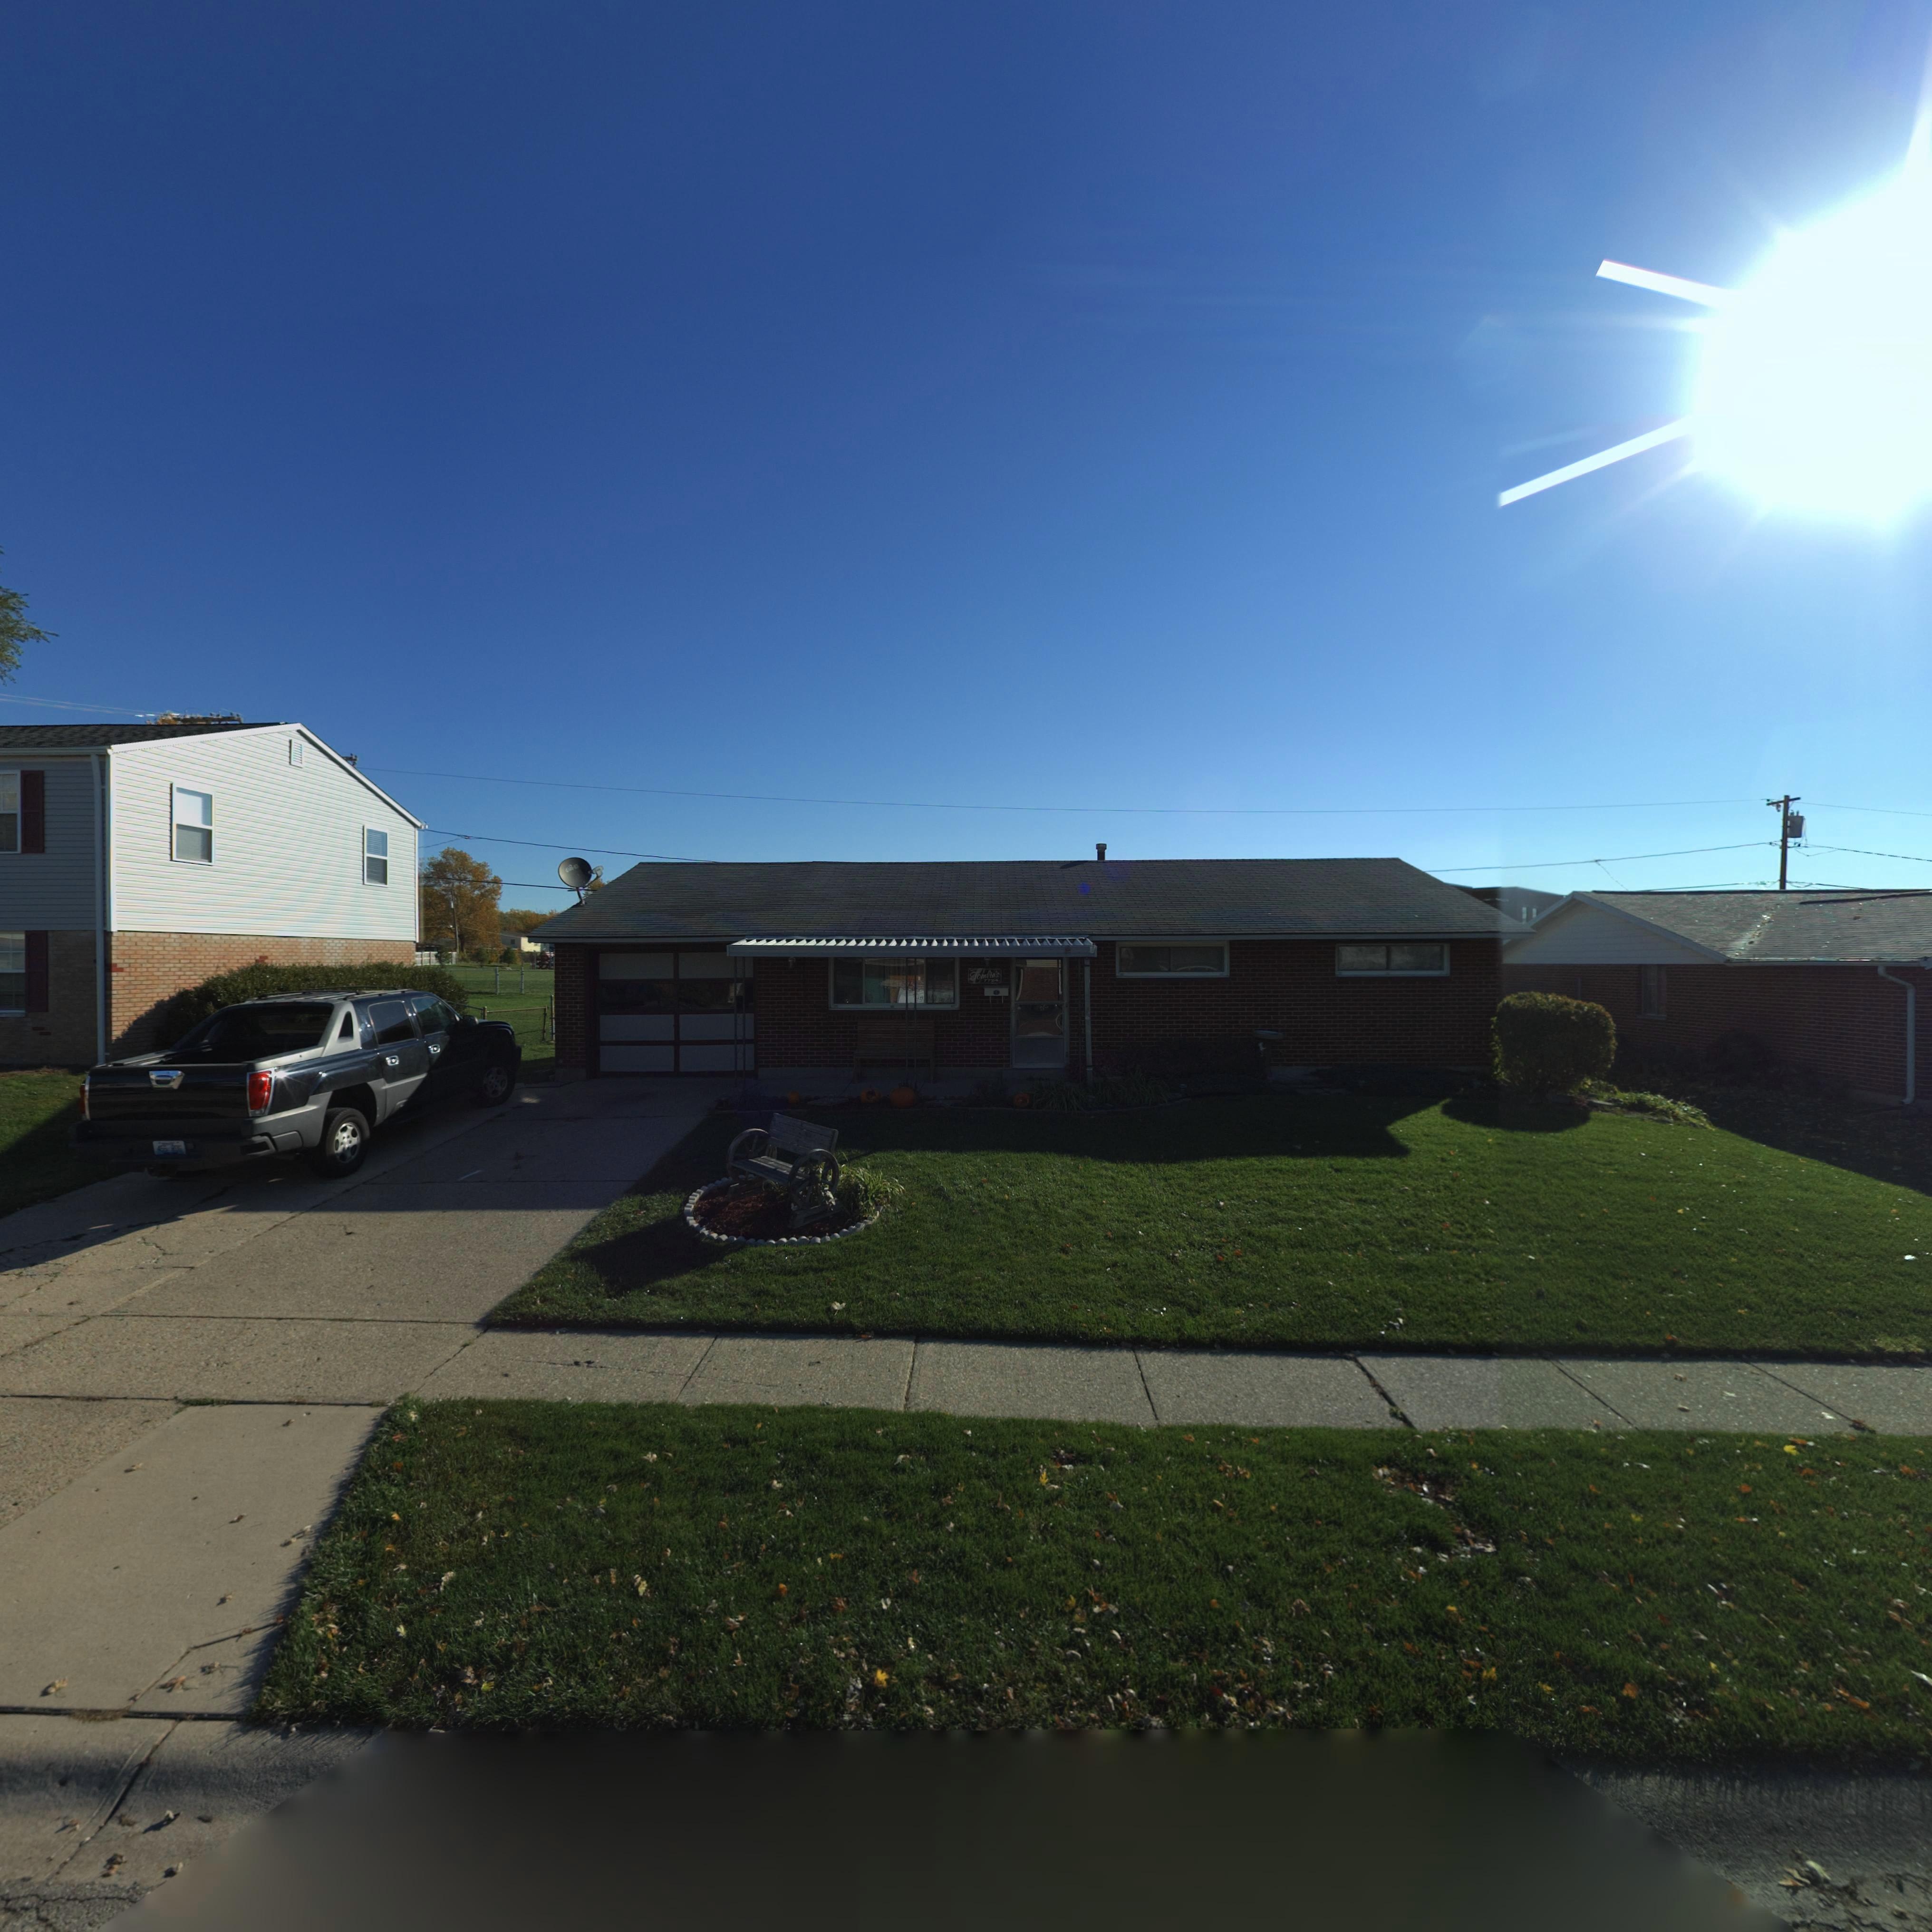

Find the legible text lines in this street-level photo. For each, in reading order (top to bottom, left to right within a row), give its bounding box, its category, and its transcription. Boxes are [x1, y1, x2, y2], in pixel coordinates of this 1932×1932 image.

[983, 978, 999, 982] StreetNumber: 7724